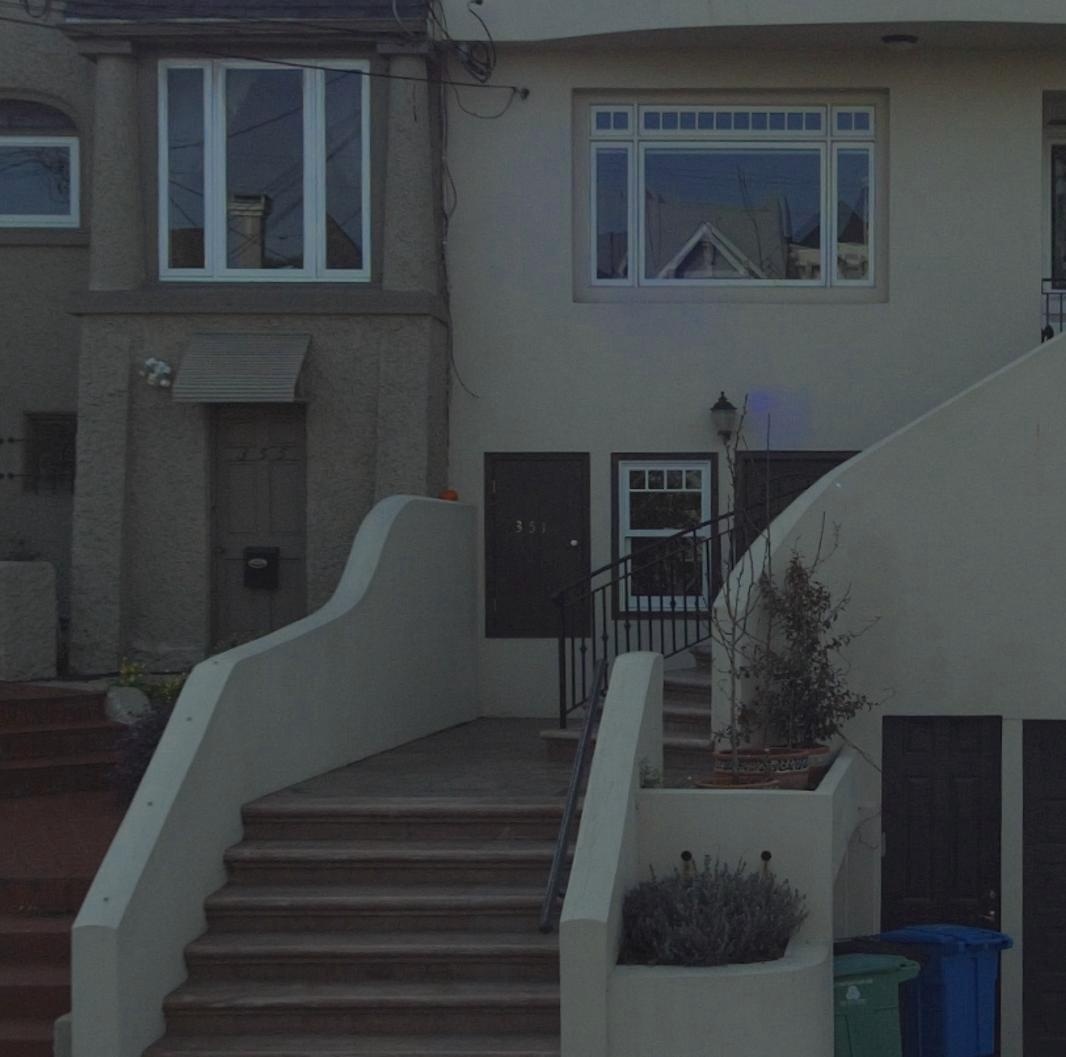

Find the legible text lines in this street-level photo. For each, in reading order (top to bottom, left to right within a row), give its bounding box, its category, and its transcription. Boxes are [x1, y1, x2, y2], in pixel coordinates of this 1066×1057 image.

[235, 446, 292, 461] StreetNumber: 355
[513, 518, 549, 535] StreetNumber: 351